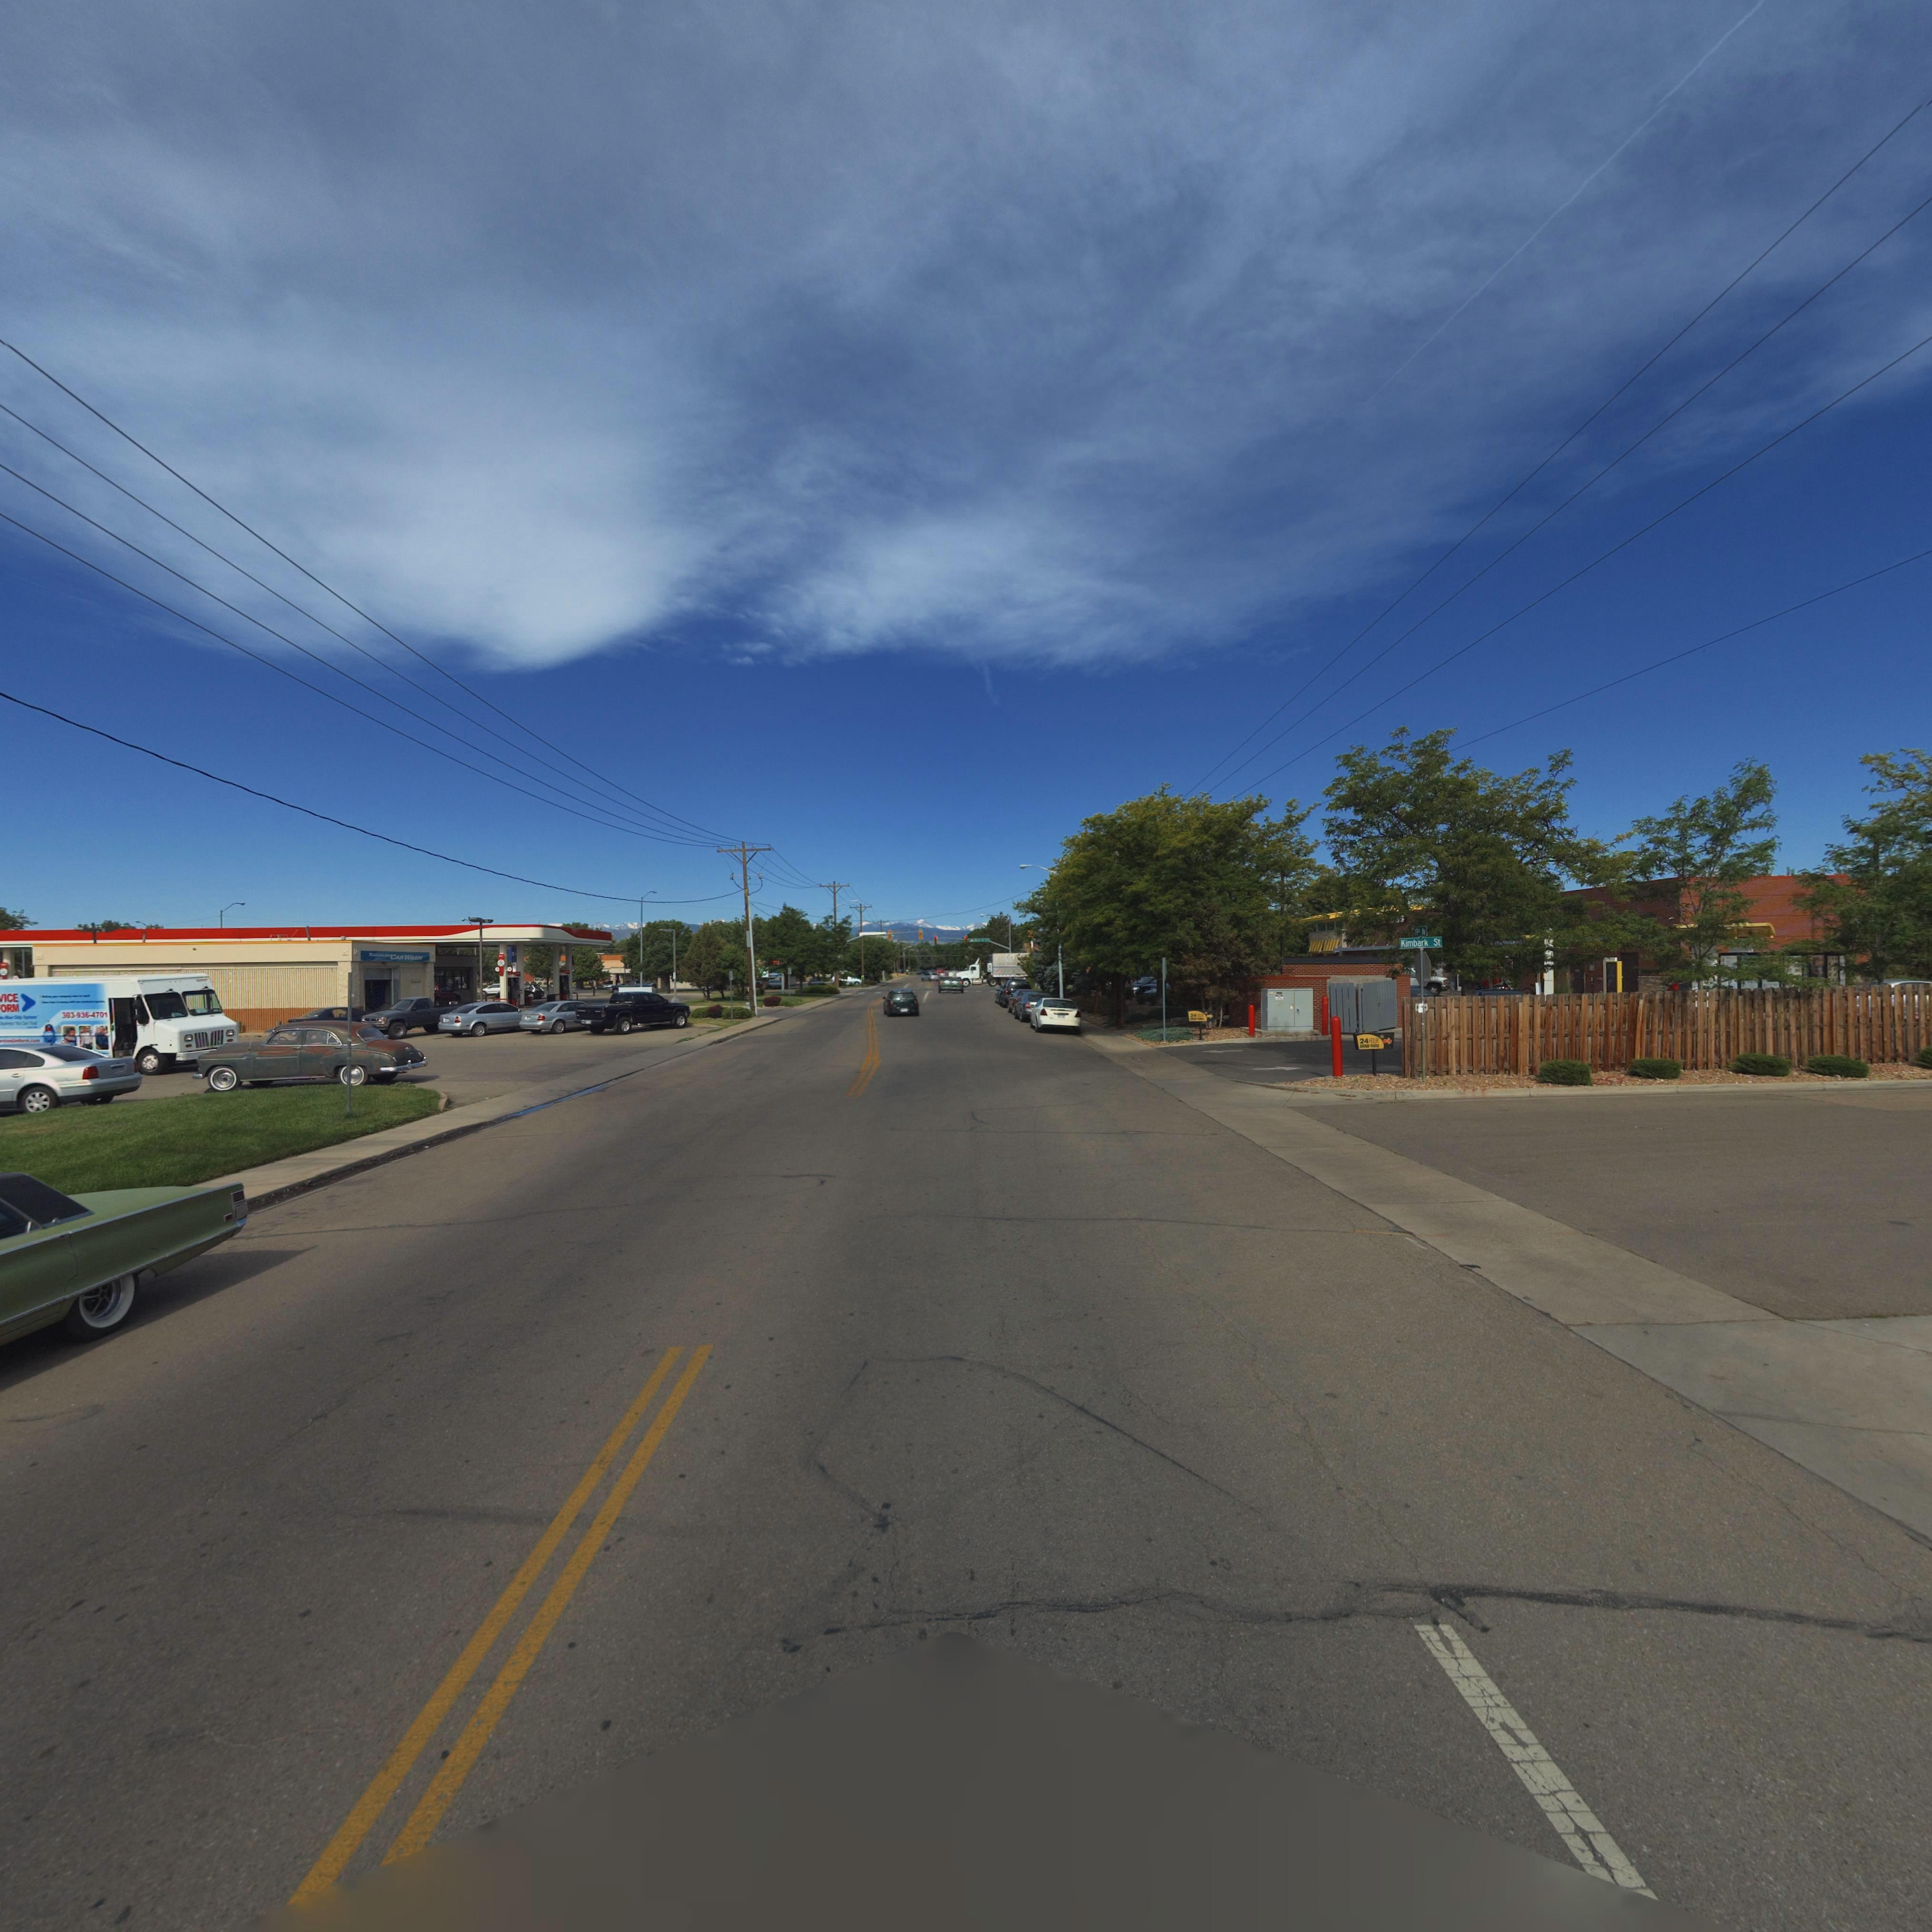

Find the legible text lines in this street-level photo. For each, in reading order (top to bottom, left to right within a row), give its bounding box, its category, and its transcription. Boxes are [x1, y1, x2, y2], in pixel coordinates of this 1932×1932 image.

[1414, 927, 1426, 936] StreetName: 19** Av
[1400, 937, 1441, 947] StreetName: Kimbark St